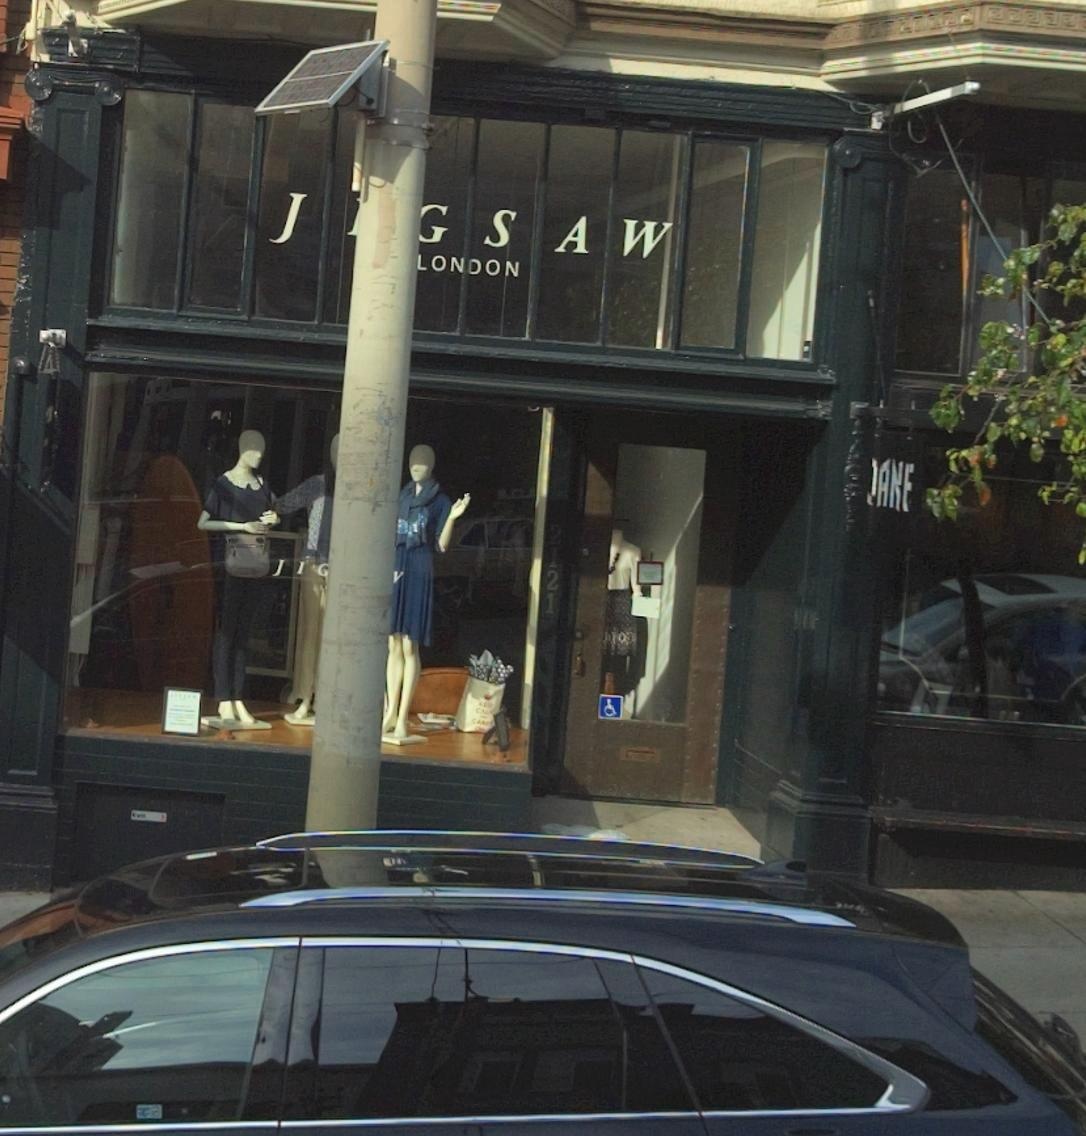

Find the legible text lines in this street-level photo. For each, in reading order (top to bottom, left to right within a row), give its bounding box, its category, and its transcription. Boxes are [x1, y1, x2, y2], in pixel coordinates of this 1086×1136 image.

[263, 185, 313, 250] BusinessName: J
[478, 205, 681, 263] BusinessName: SAW
[414, 251, 522, 280] BusinessName: LONDON
[873, 454, 918, 516] None: AKE
[540, 522, 565, 617] StreetNumber: 2121